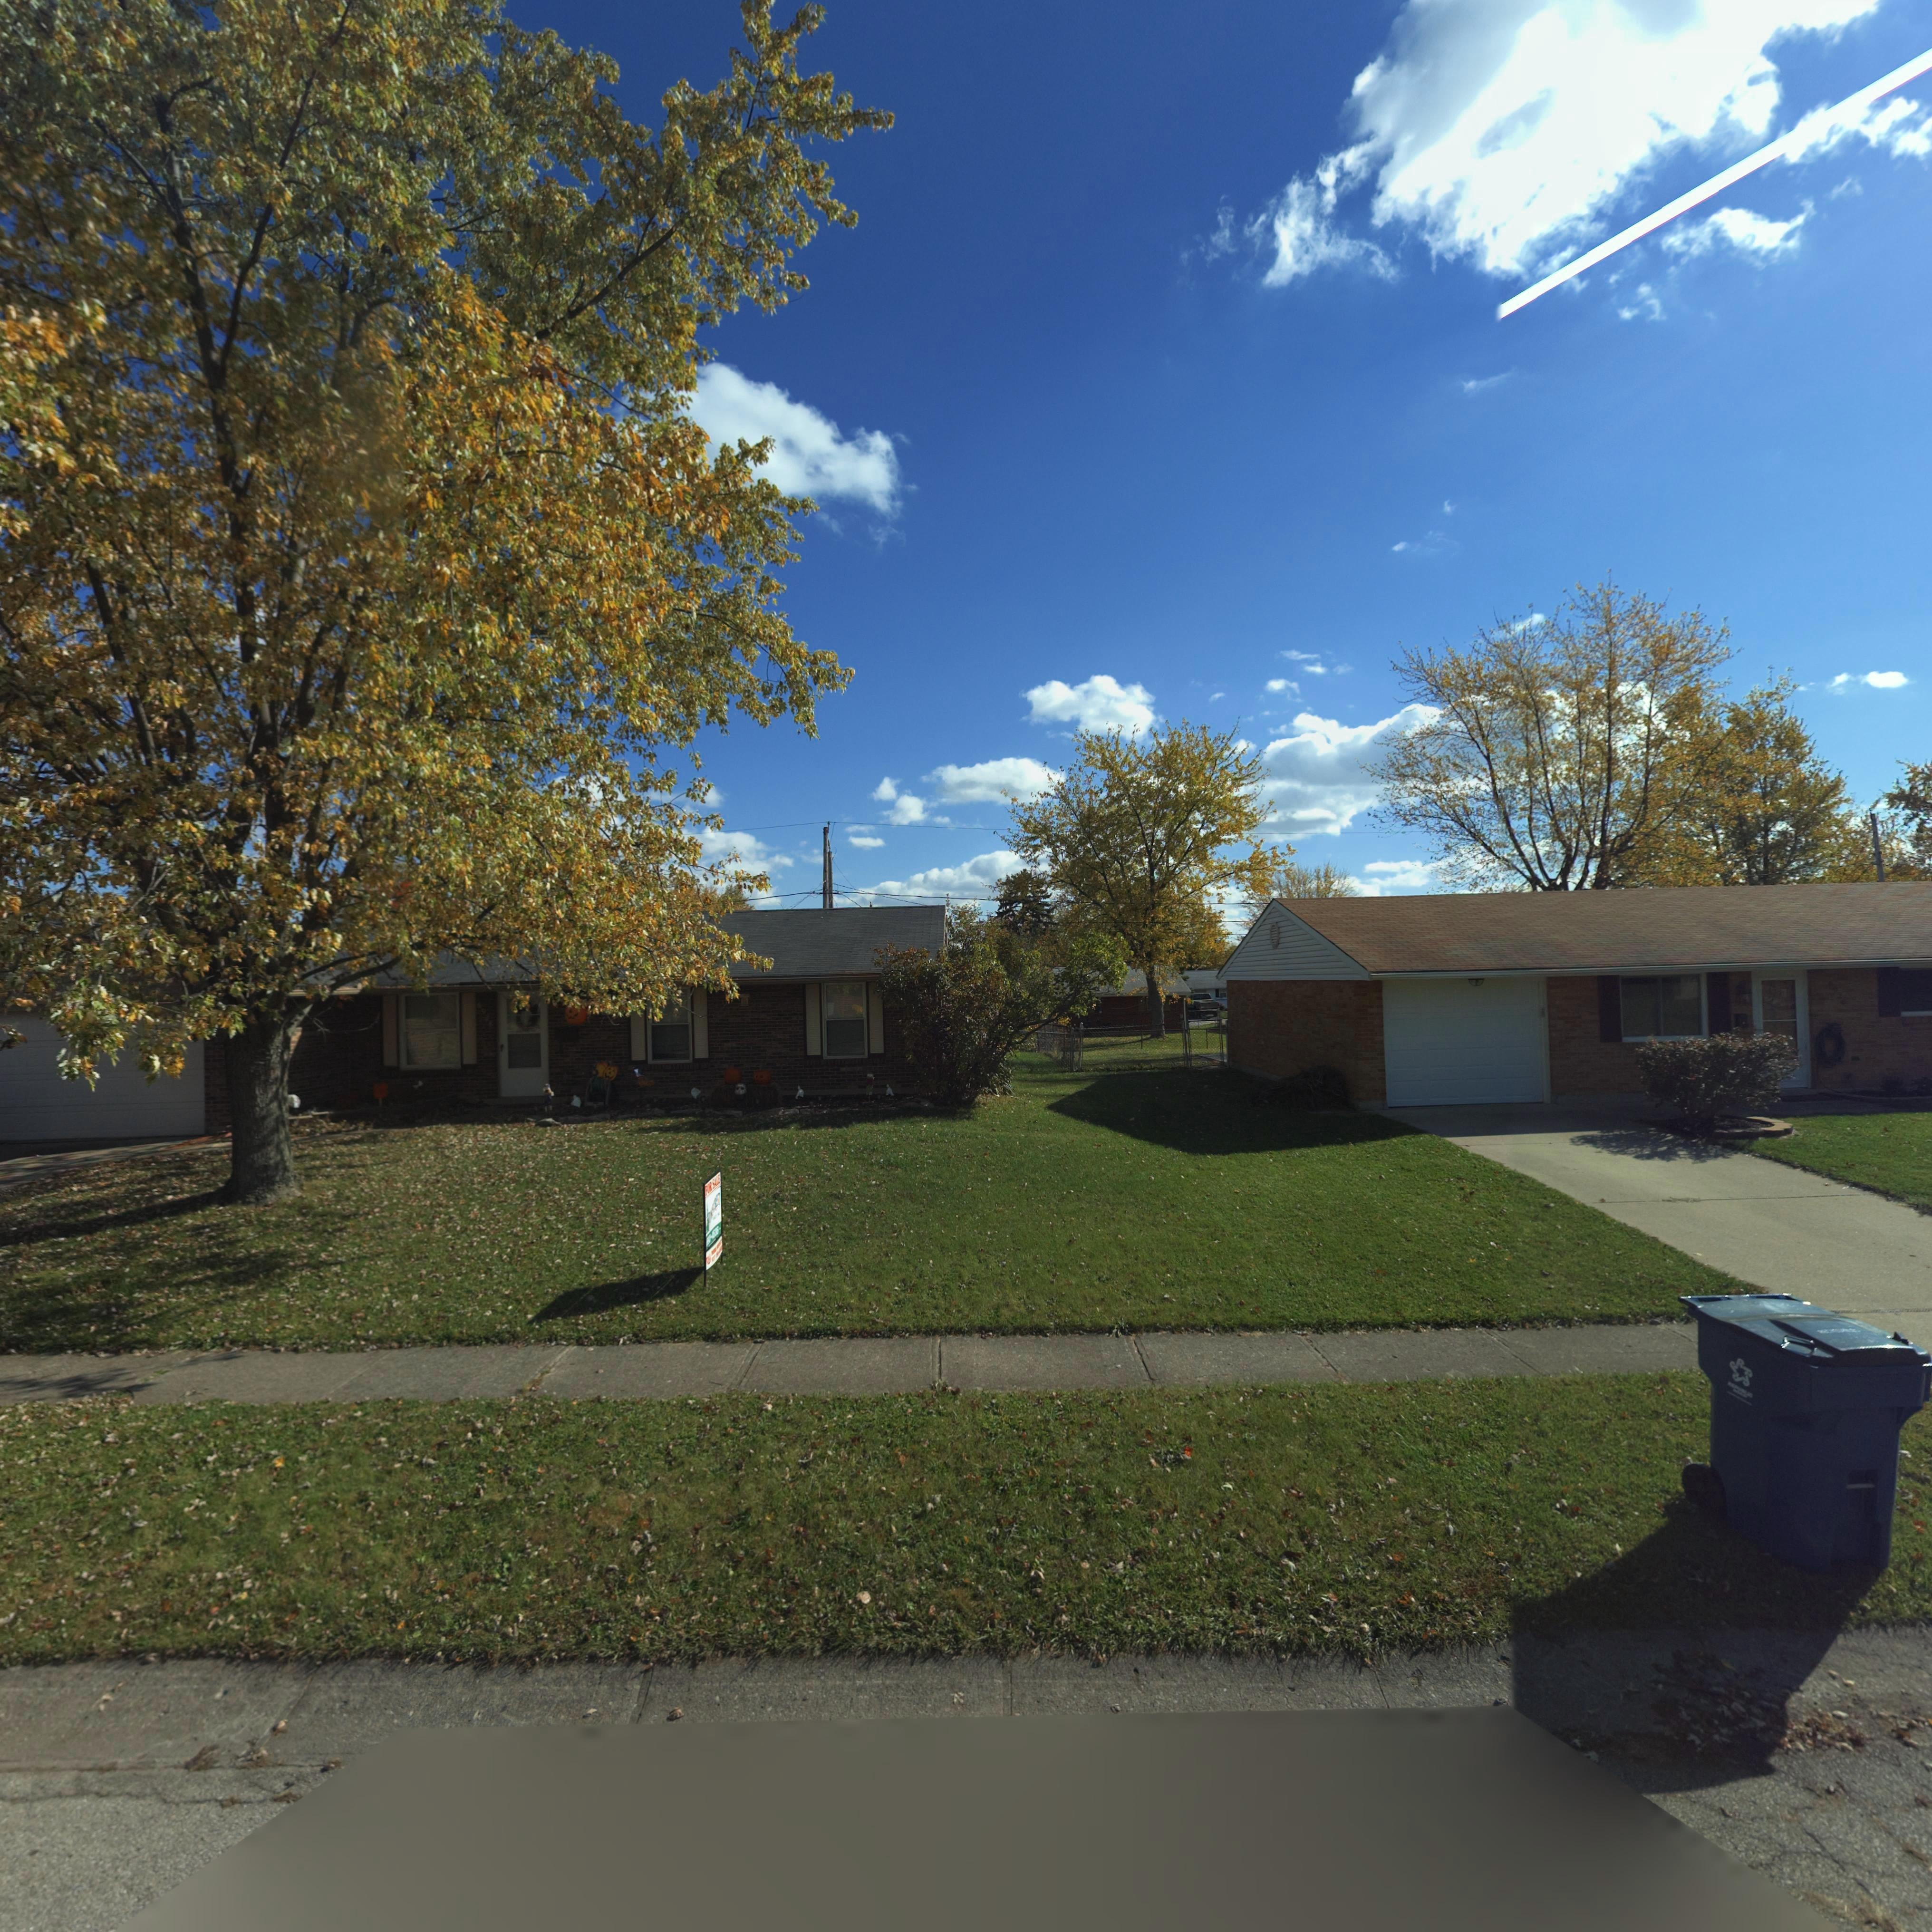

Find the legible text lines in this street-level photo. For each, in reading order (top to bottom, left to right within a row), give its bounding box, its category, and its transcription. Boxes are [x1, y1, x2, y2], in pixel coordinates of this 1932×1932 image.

[1826, 977, 1847, 1008] StreetNumber: **2*
[476, 1000, 496, 1029] StreetNumber: 69**